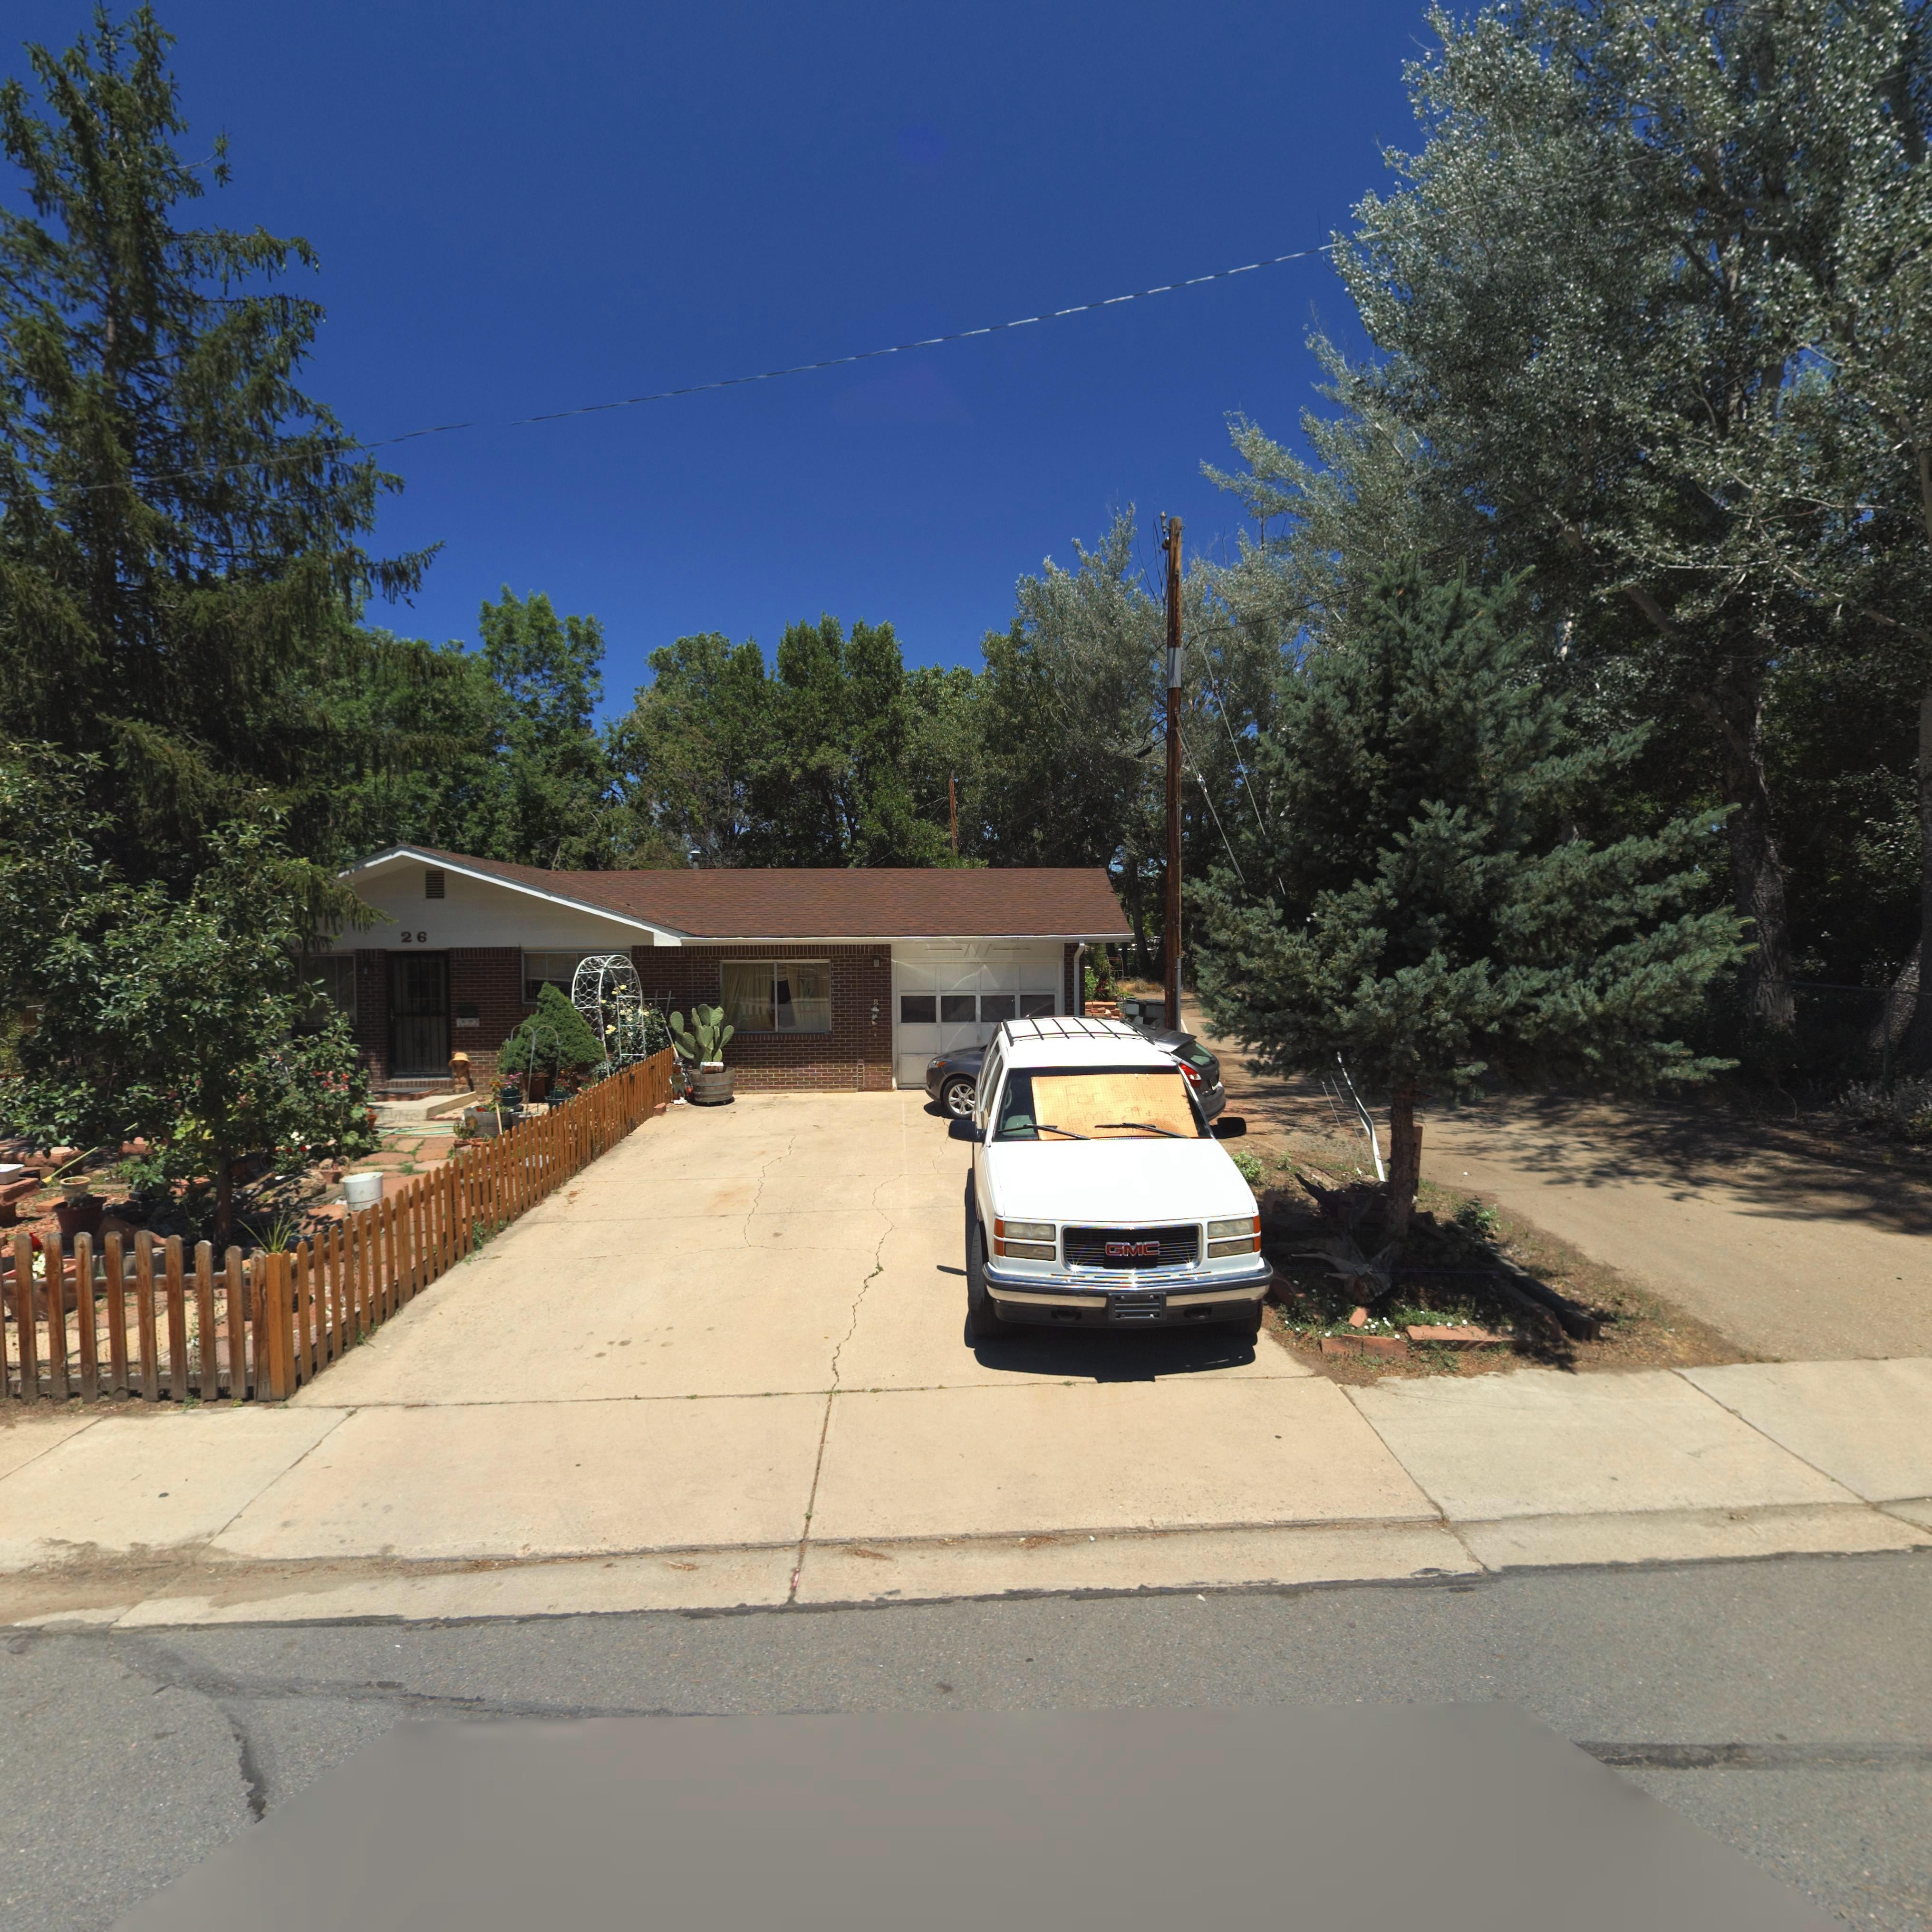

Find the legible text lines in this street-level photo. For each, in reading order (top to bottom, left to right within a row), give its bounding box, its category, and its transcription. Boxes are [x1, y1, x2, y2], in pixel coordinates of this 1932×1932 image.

[400, 930, 428, 943] StreetNumber: 26